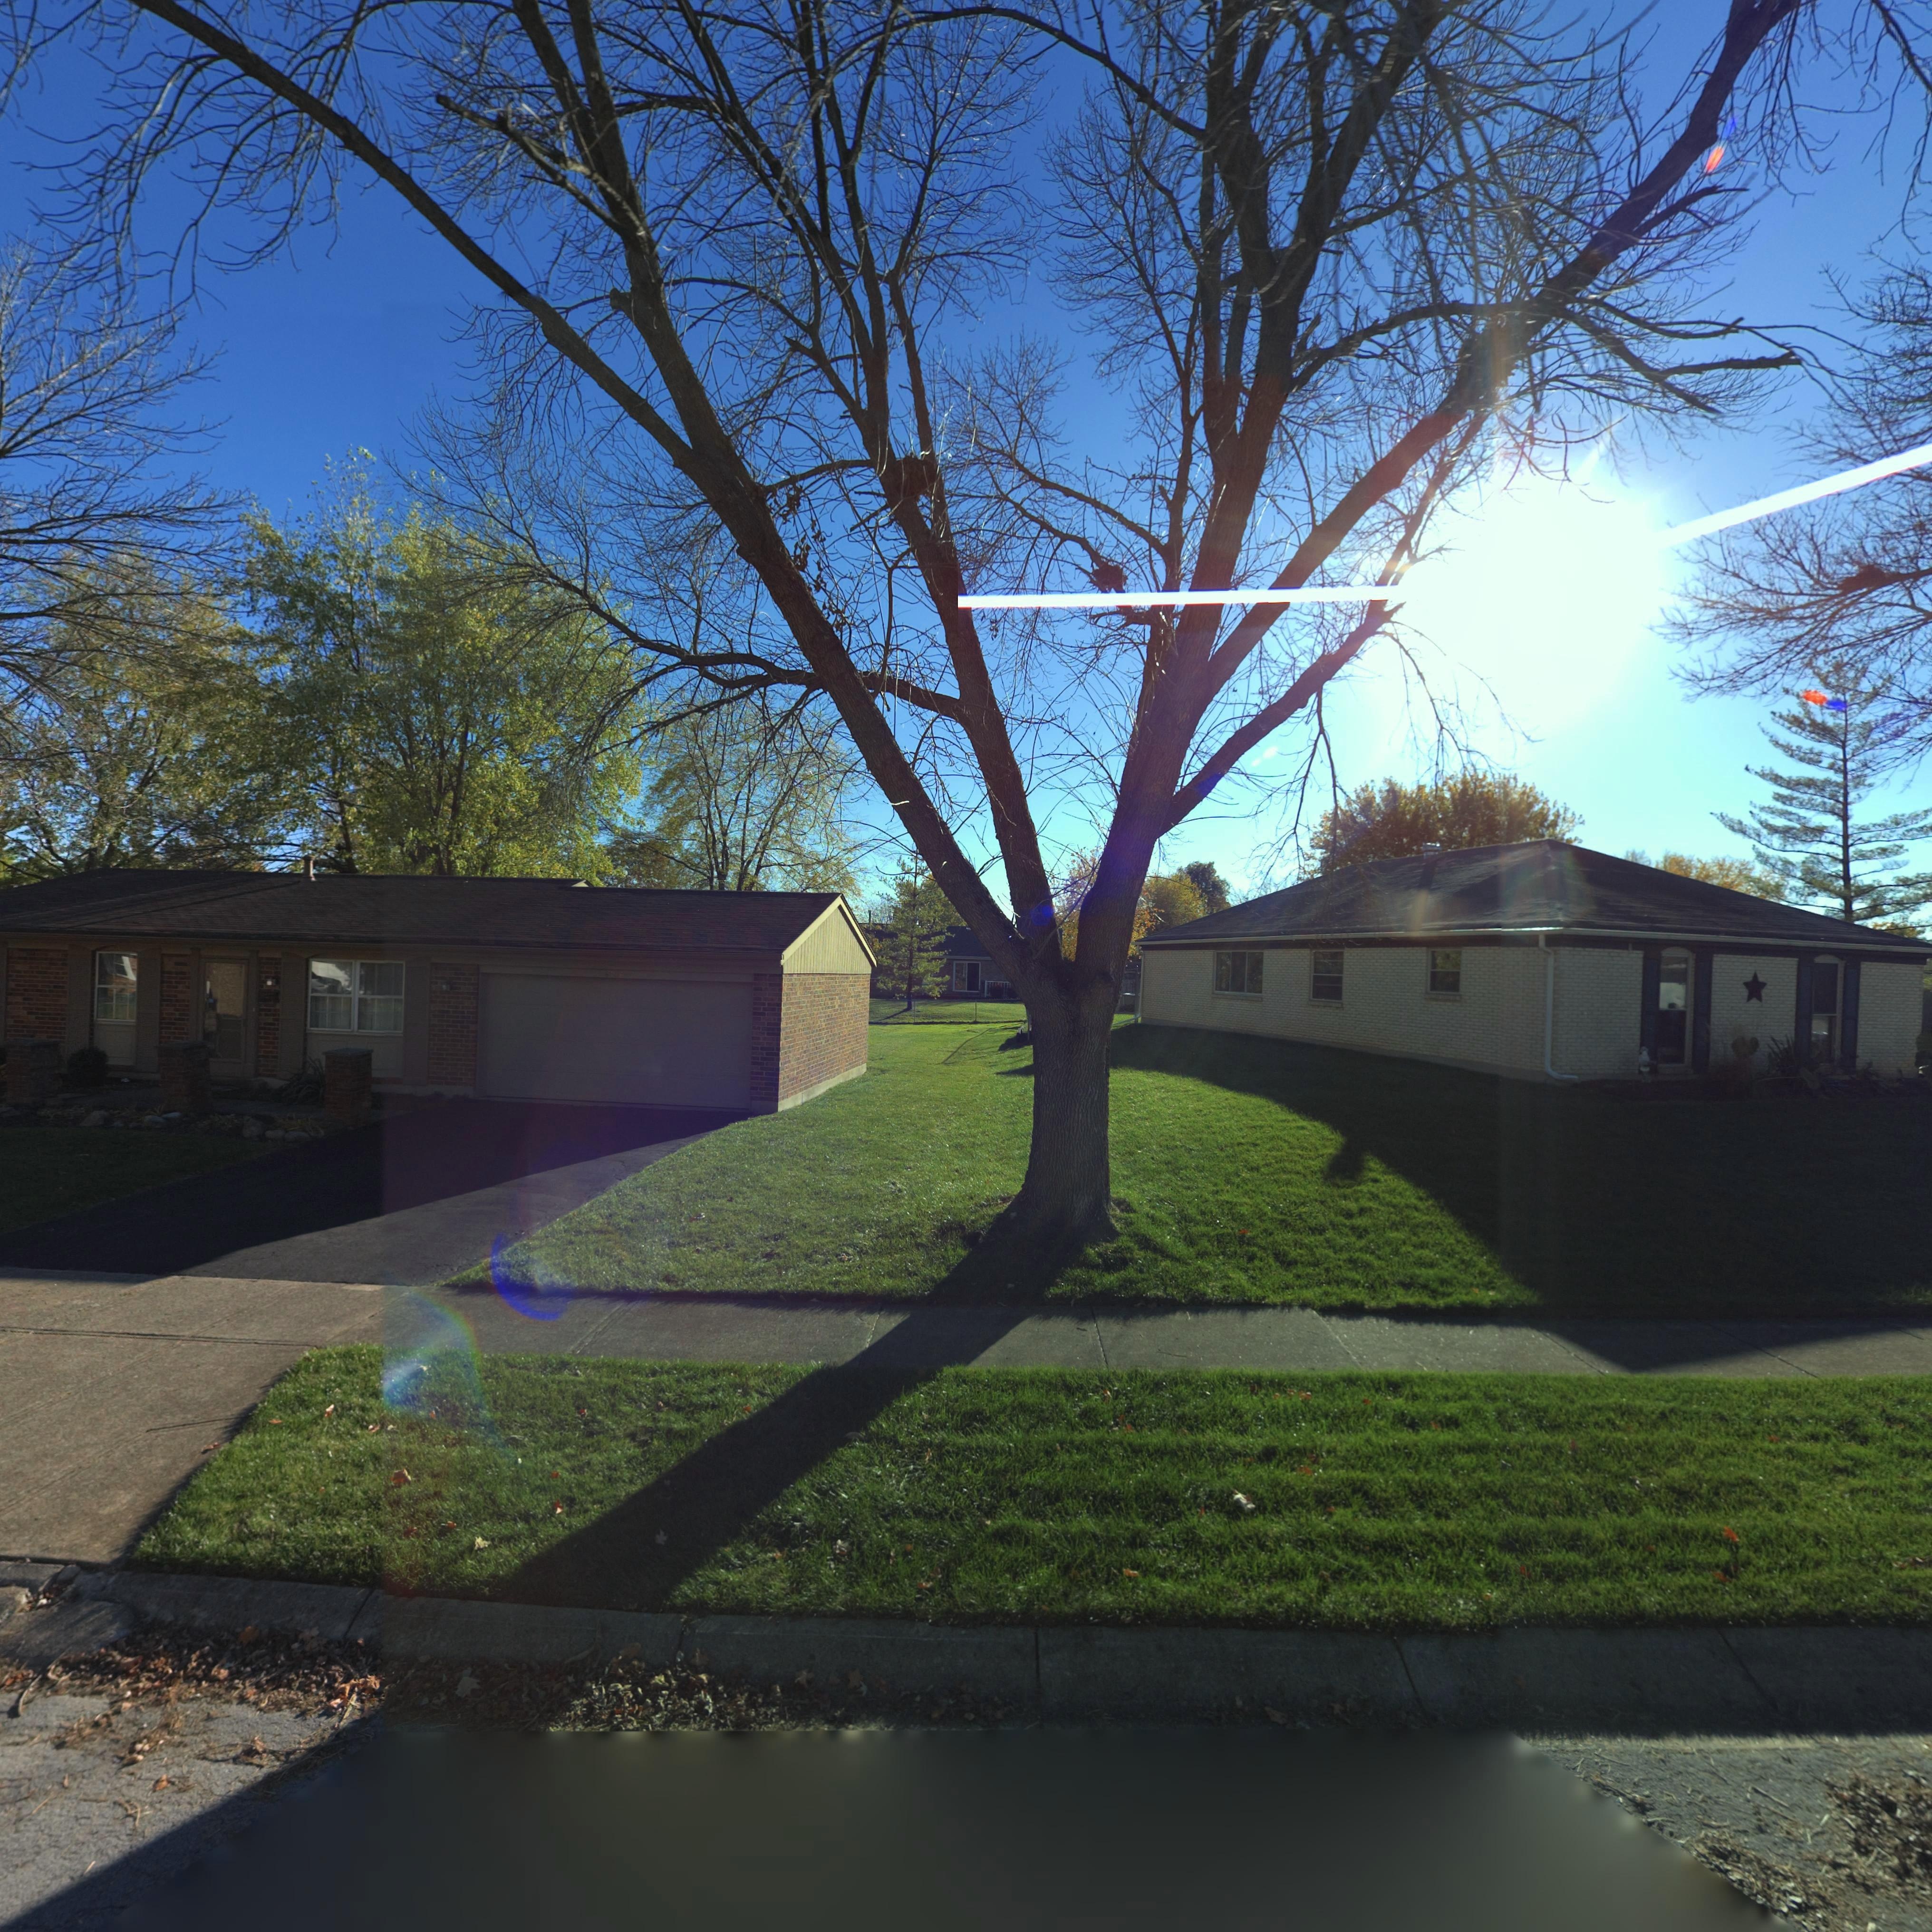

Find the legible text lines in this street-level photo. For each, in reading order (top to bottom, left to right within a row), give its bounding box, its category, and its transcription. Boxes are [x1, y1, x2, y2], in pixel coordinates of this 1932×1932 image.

[604, 970, 625, 980] StreetNumber: 45*6